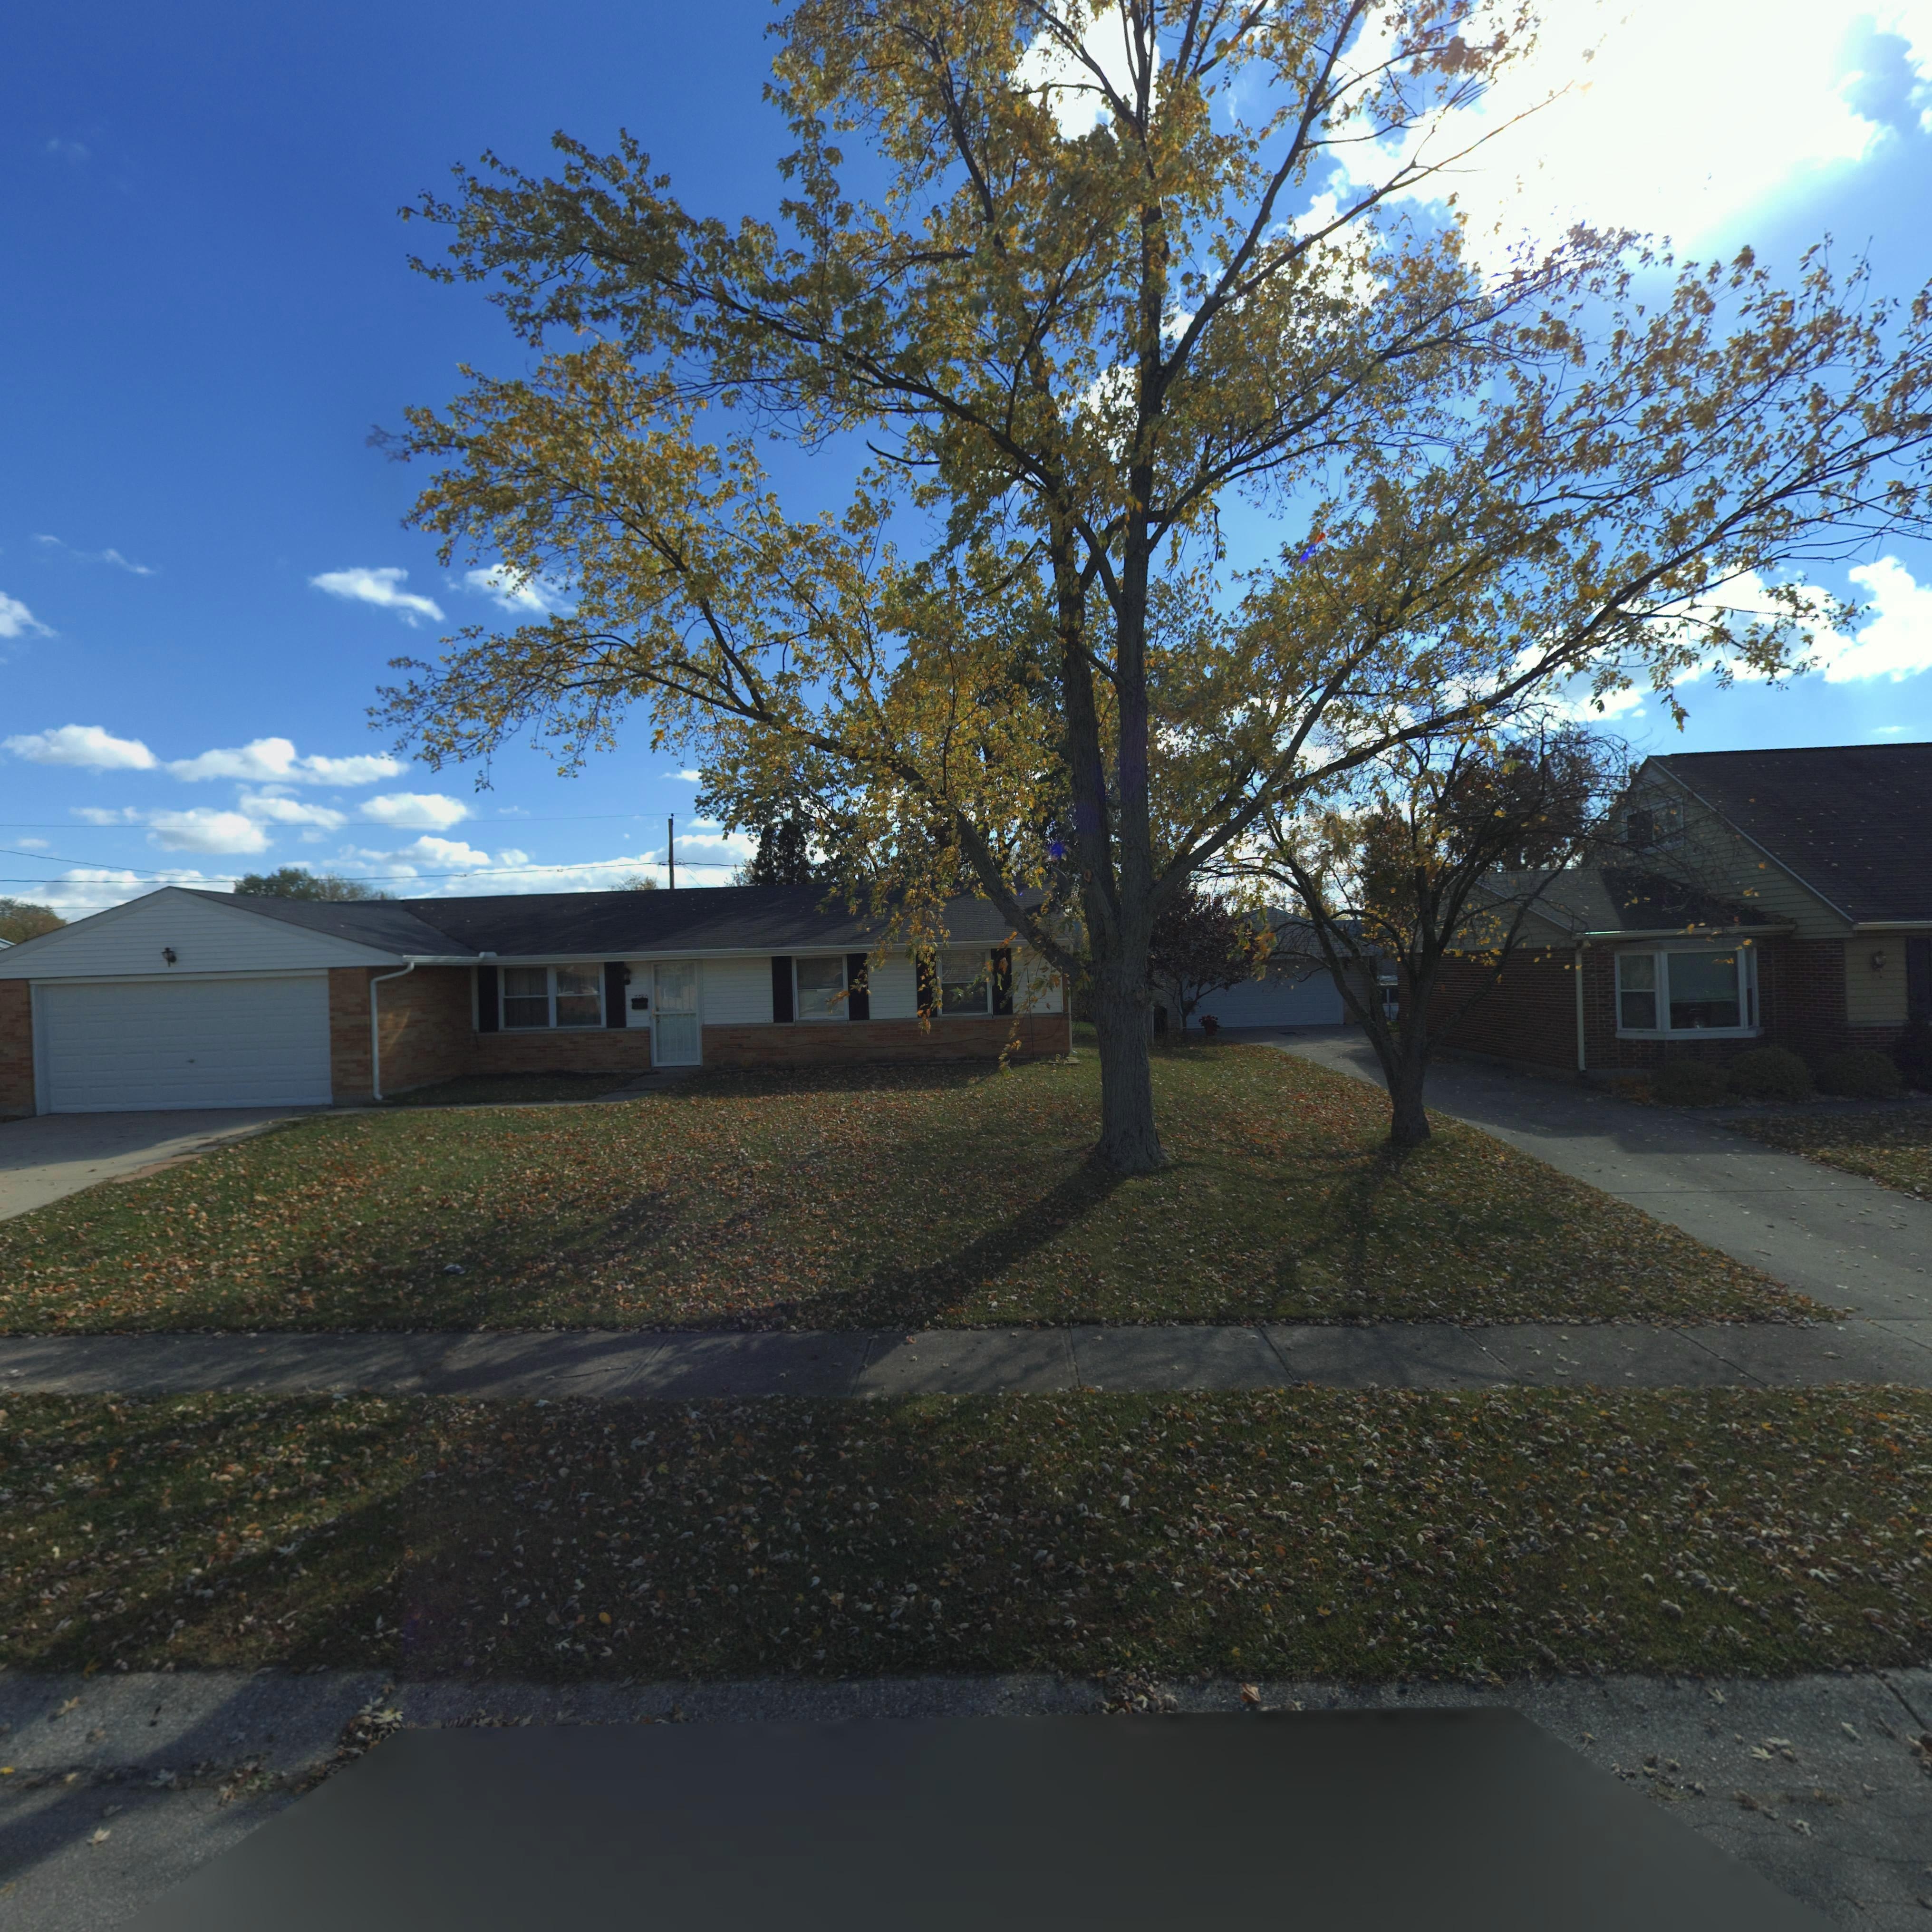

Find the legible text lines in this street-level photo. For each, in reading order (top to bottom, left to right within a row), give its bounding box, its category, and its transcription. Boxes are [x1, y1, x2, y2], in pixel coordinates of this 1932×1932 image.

[633, 994, 649, 999] StreetNumber: 7780